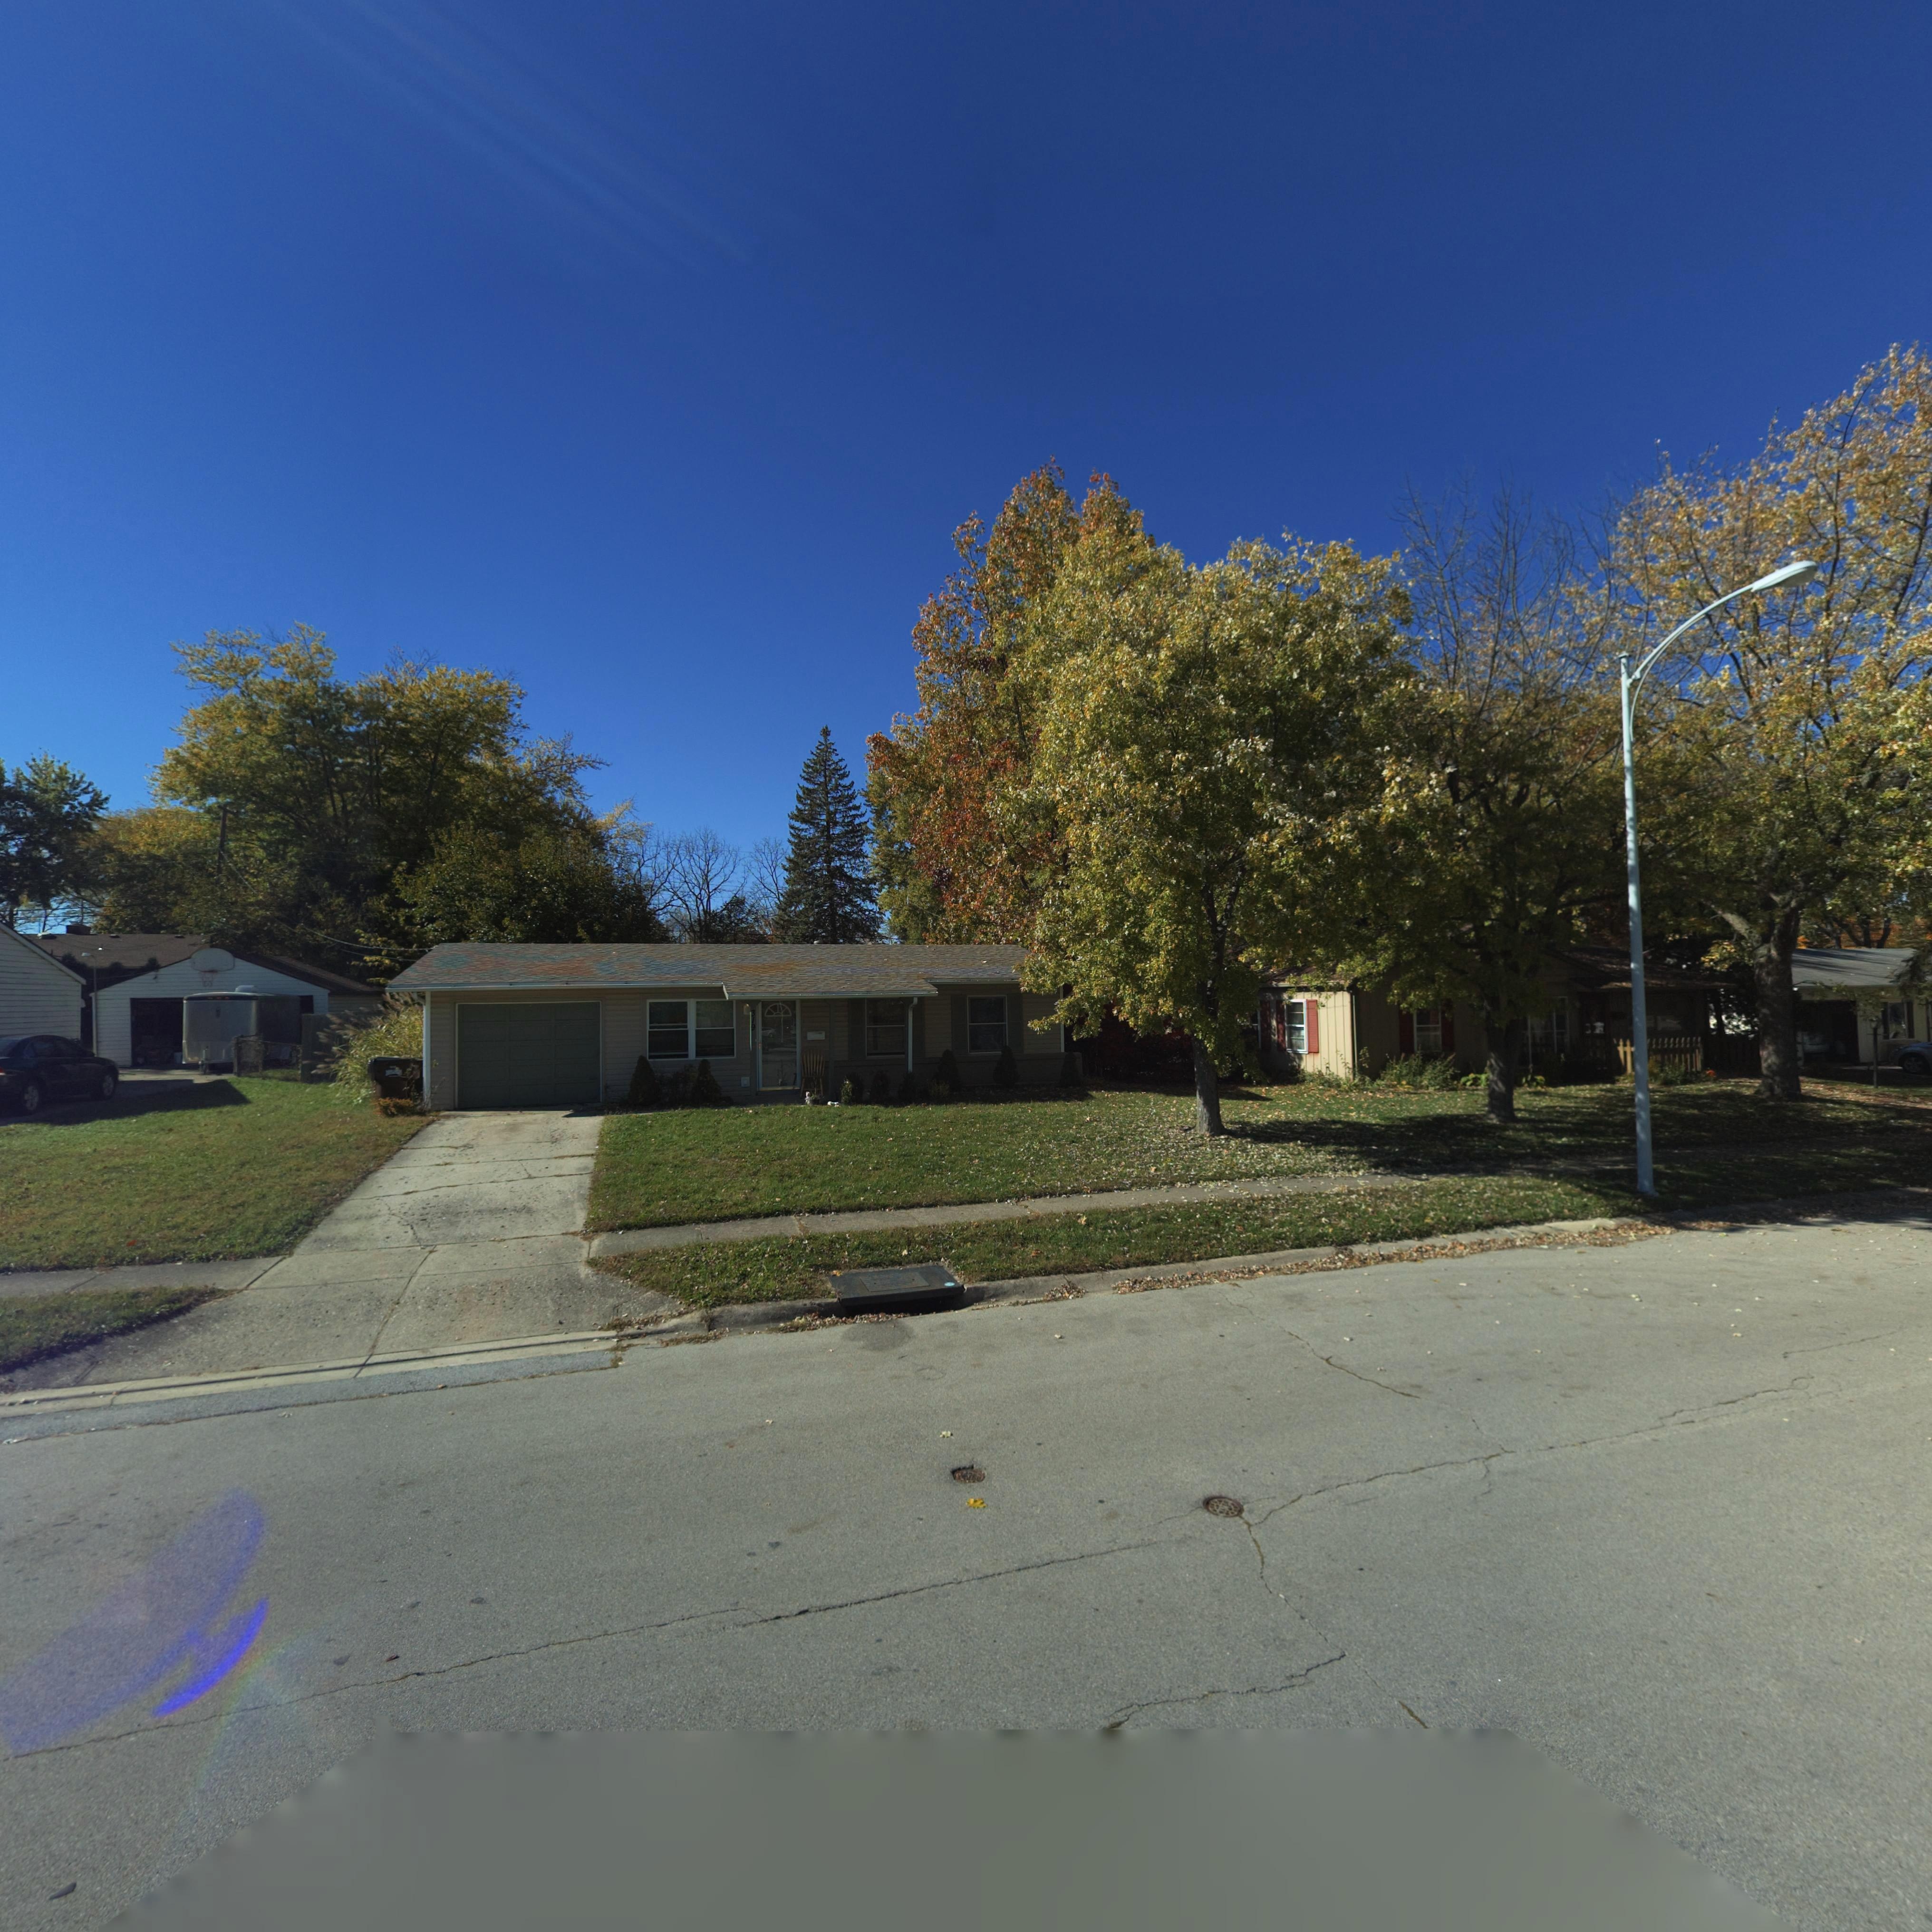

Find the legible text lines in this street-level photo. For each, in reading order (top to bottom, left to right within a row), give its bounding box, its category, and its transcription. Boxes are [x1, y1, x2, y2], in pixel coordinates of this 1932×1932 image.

[751, 1009, 756, 1032] StreetNumber: 319